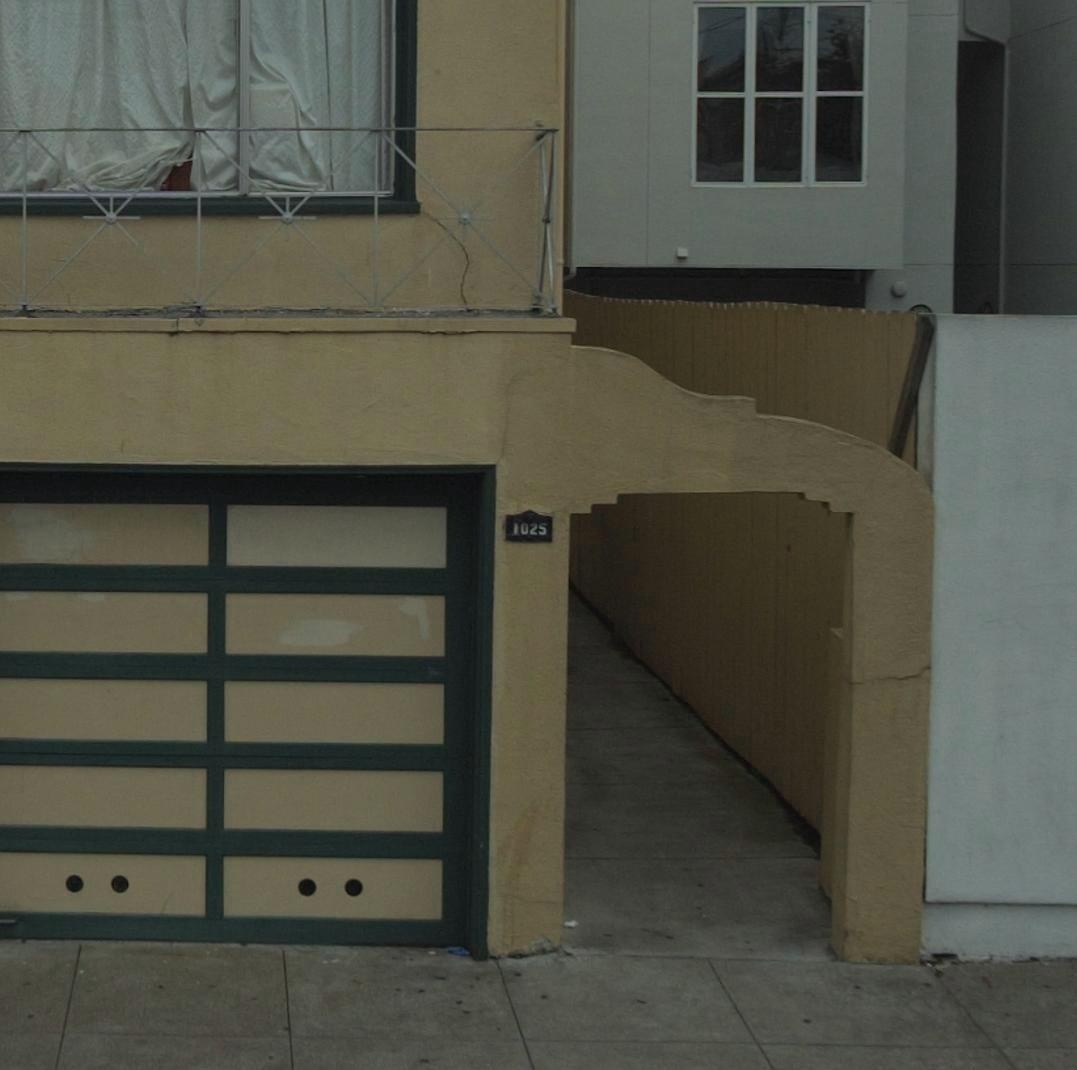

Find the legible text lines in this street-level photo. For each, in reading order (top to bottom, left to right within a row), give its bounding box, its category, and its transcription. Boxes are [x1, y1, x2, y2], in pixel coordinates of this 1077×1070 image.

[512, 521, 549, 537] StreetNumber: 1025